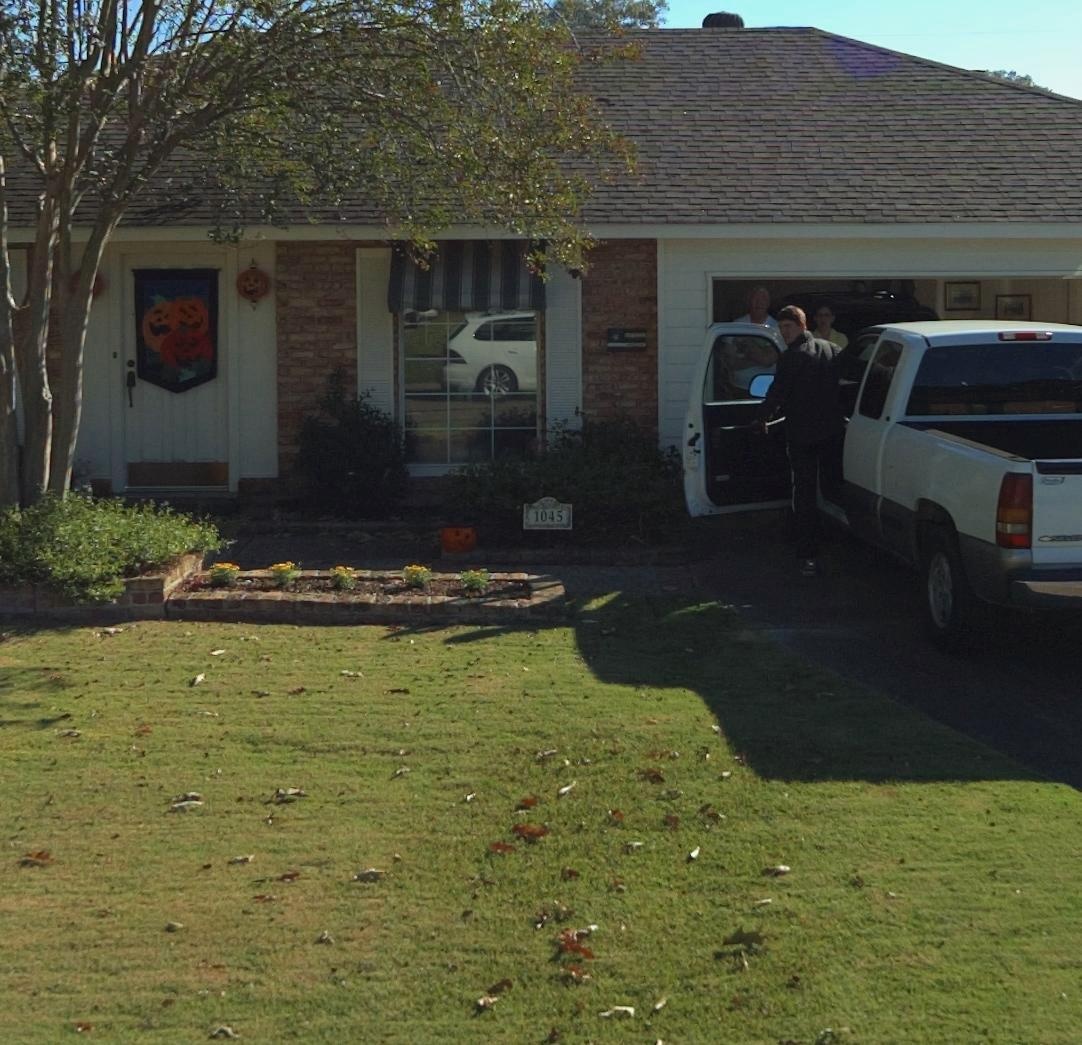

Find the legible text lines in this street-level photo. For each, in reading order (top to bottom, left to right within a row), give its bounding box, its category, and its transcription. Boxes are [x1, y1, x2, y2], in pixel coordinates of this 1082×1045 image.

[532, 508, 565, 524] StreetNumber: 1045